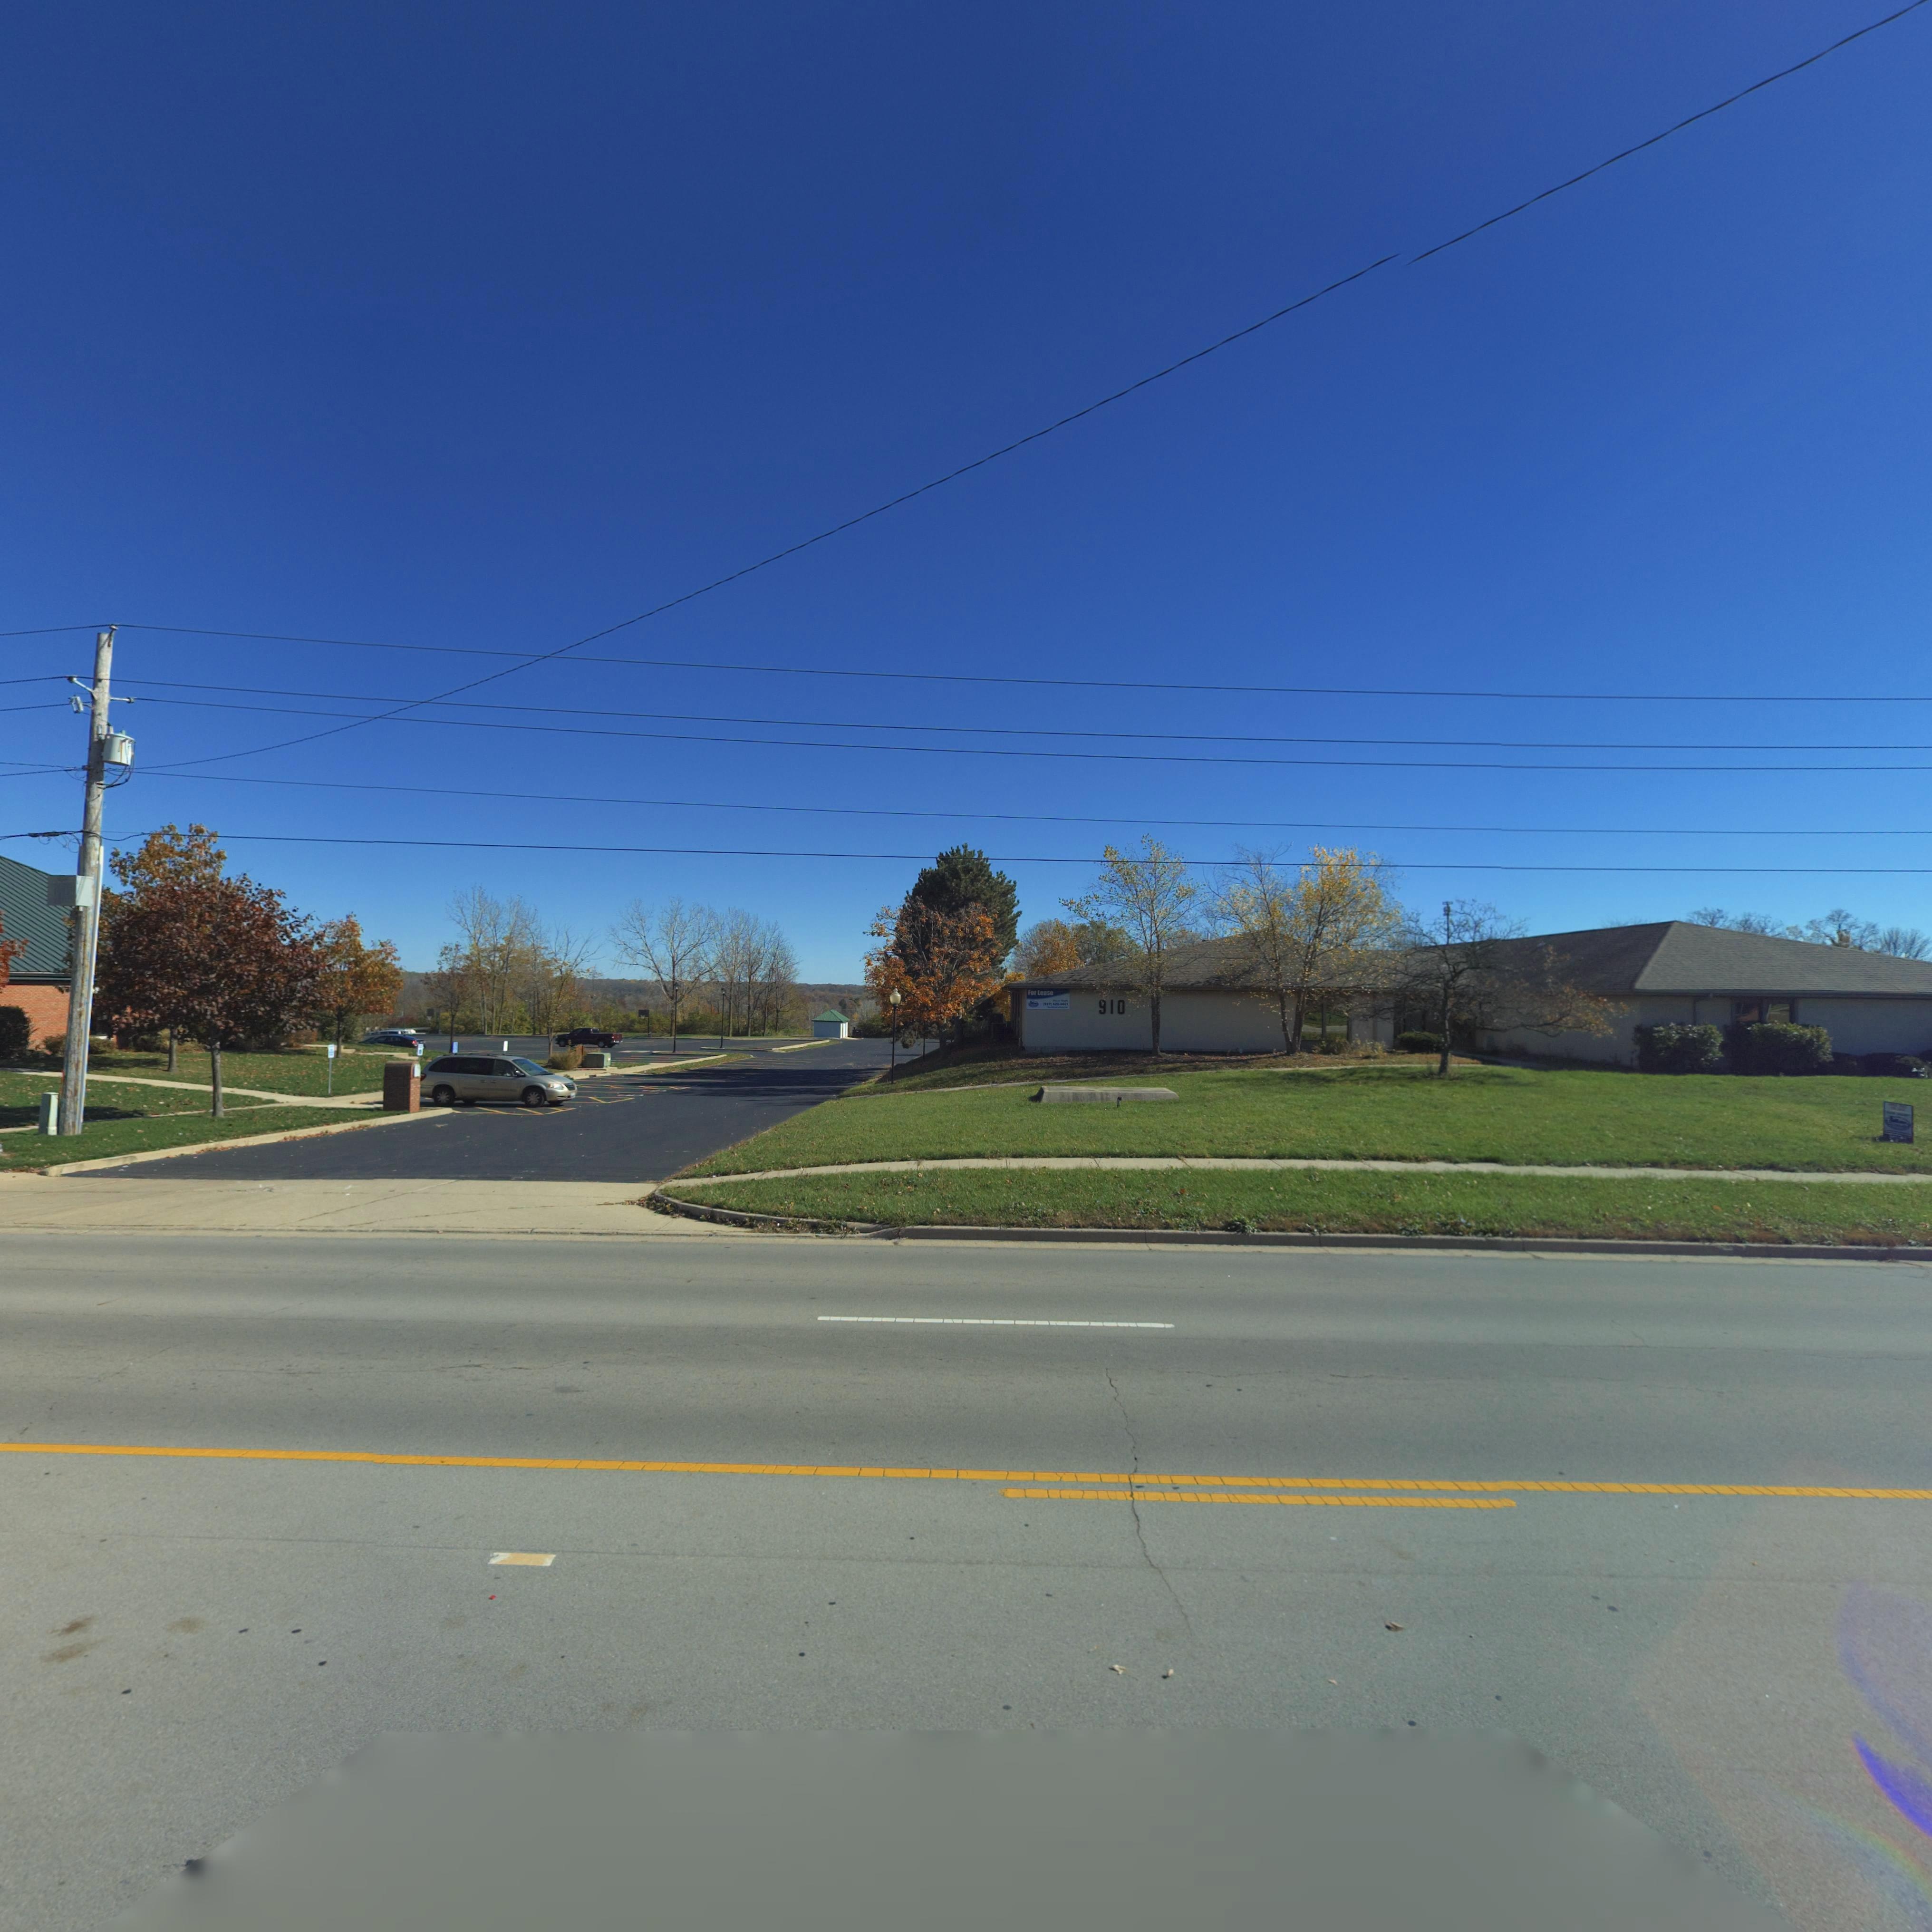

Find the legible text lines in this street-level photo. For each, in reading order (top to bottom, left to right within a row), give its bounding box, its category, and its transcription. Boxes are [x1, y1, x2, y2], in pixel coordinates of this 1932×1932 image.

[1098, 998, 1126, 1016] StreetNumber: 910